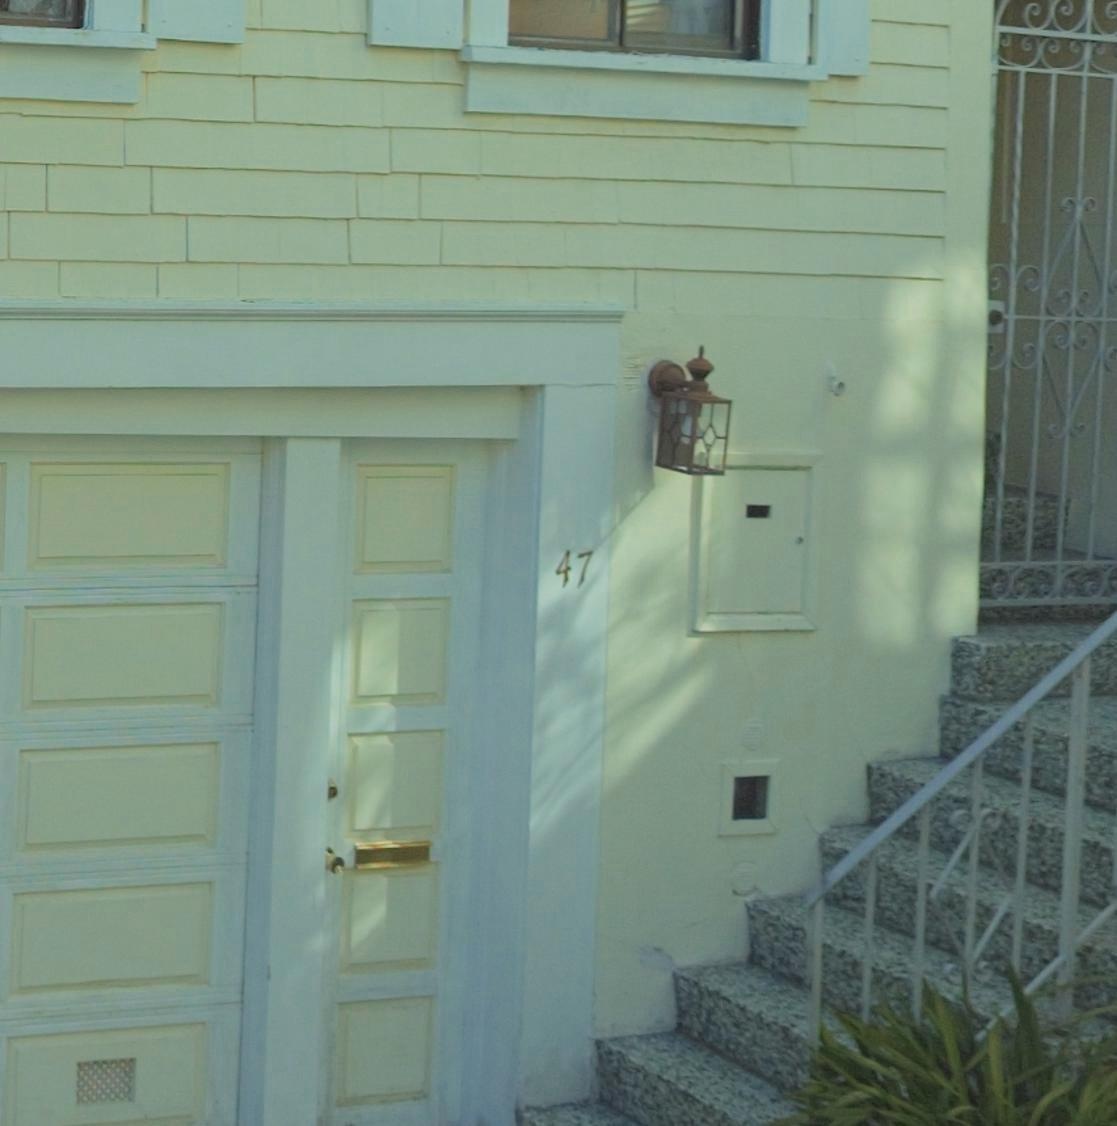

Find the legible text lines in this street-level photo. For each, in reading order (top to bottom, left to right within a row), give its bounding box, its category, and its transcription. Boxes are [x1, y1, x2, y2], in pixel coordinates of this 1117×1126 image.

[552, 548, 598, 591] StreetNumber: 47